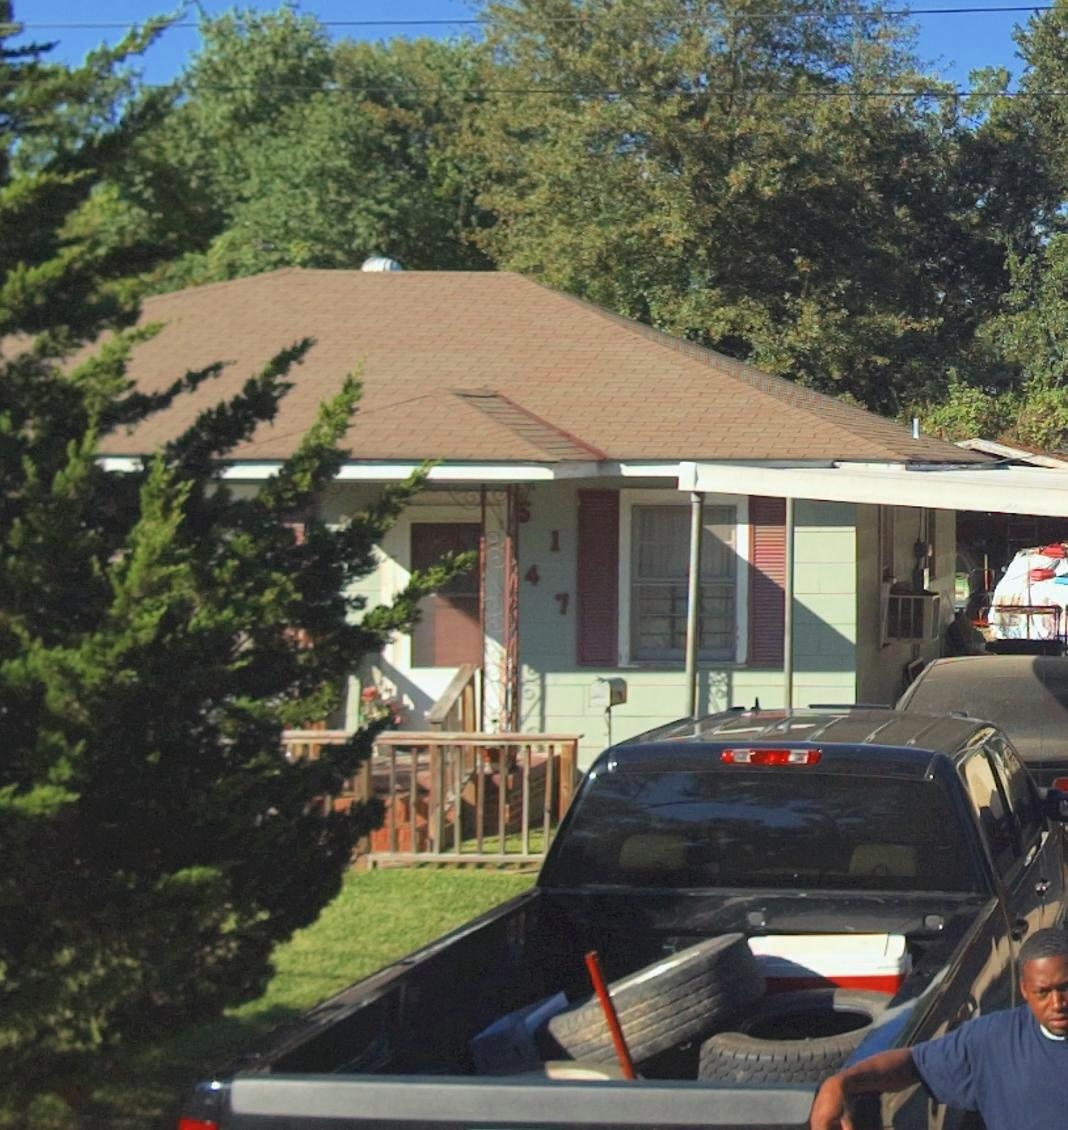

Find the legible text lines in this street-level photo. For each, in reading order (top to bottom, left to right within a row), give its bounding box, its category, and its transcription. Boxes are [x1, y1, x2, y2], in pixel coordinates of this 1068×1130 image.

[516, 499, 571, 620] StreetNumber: 5147